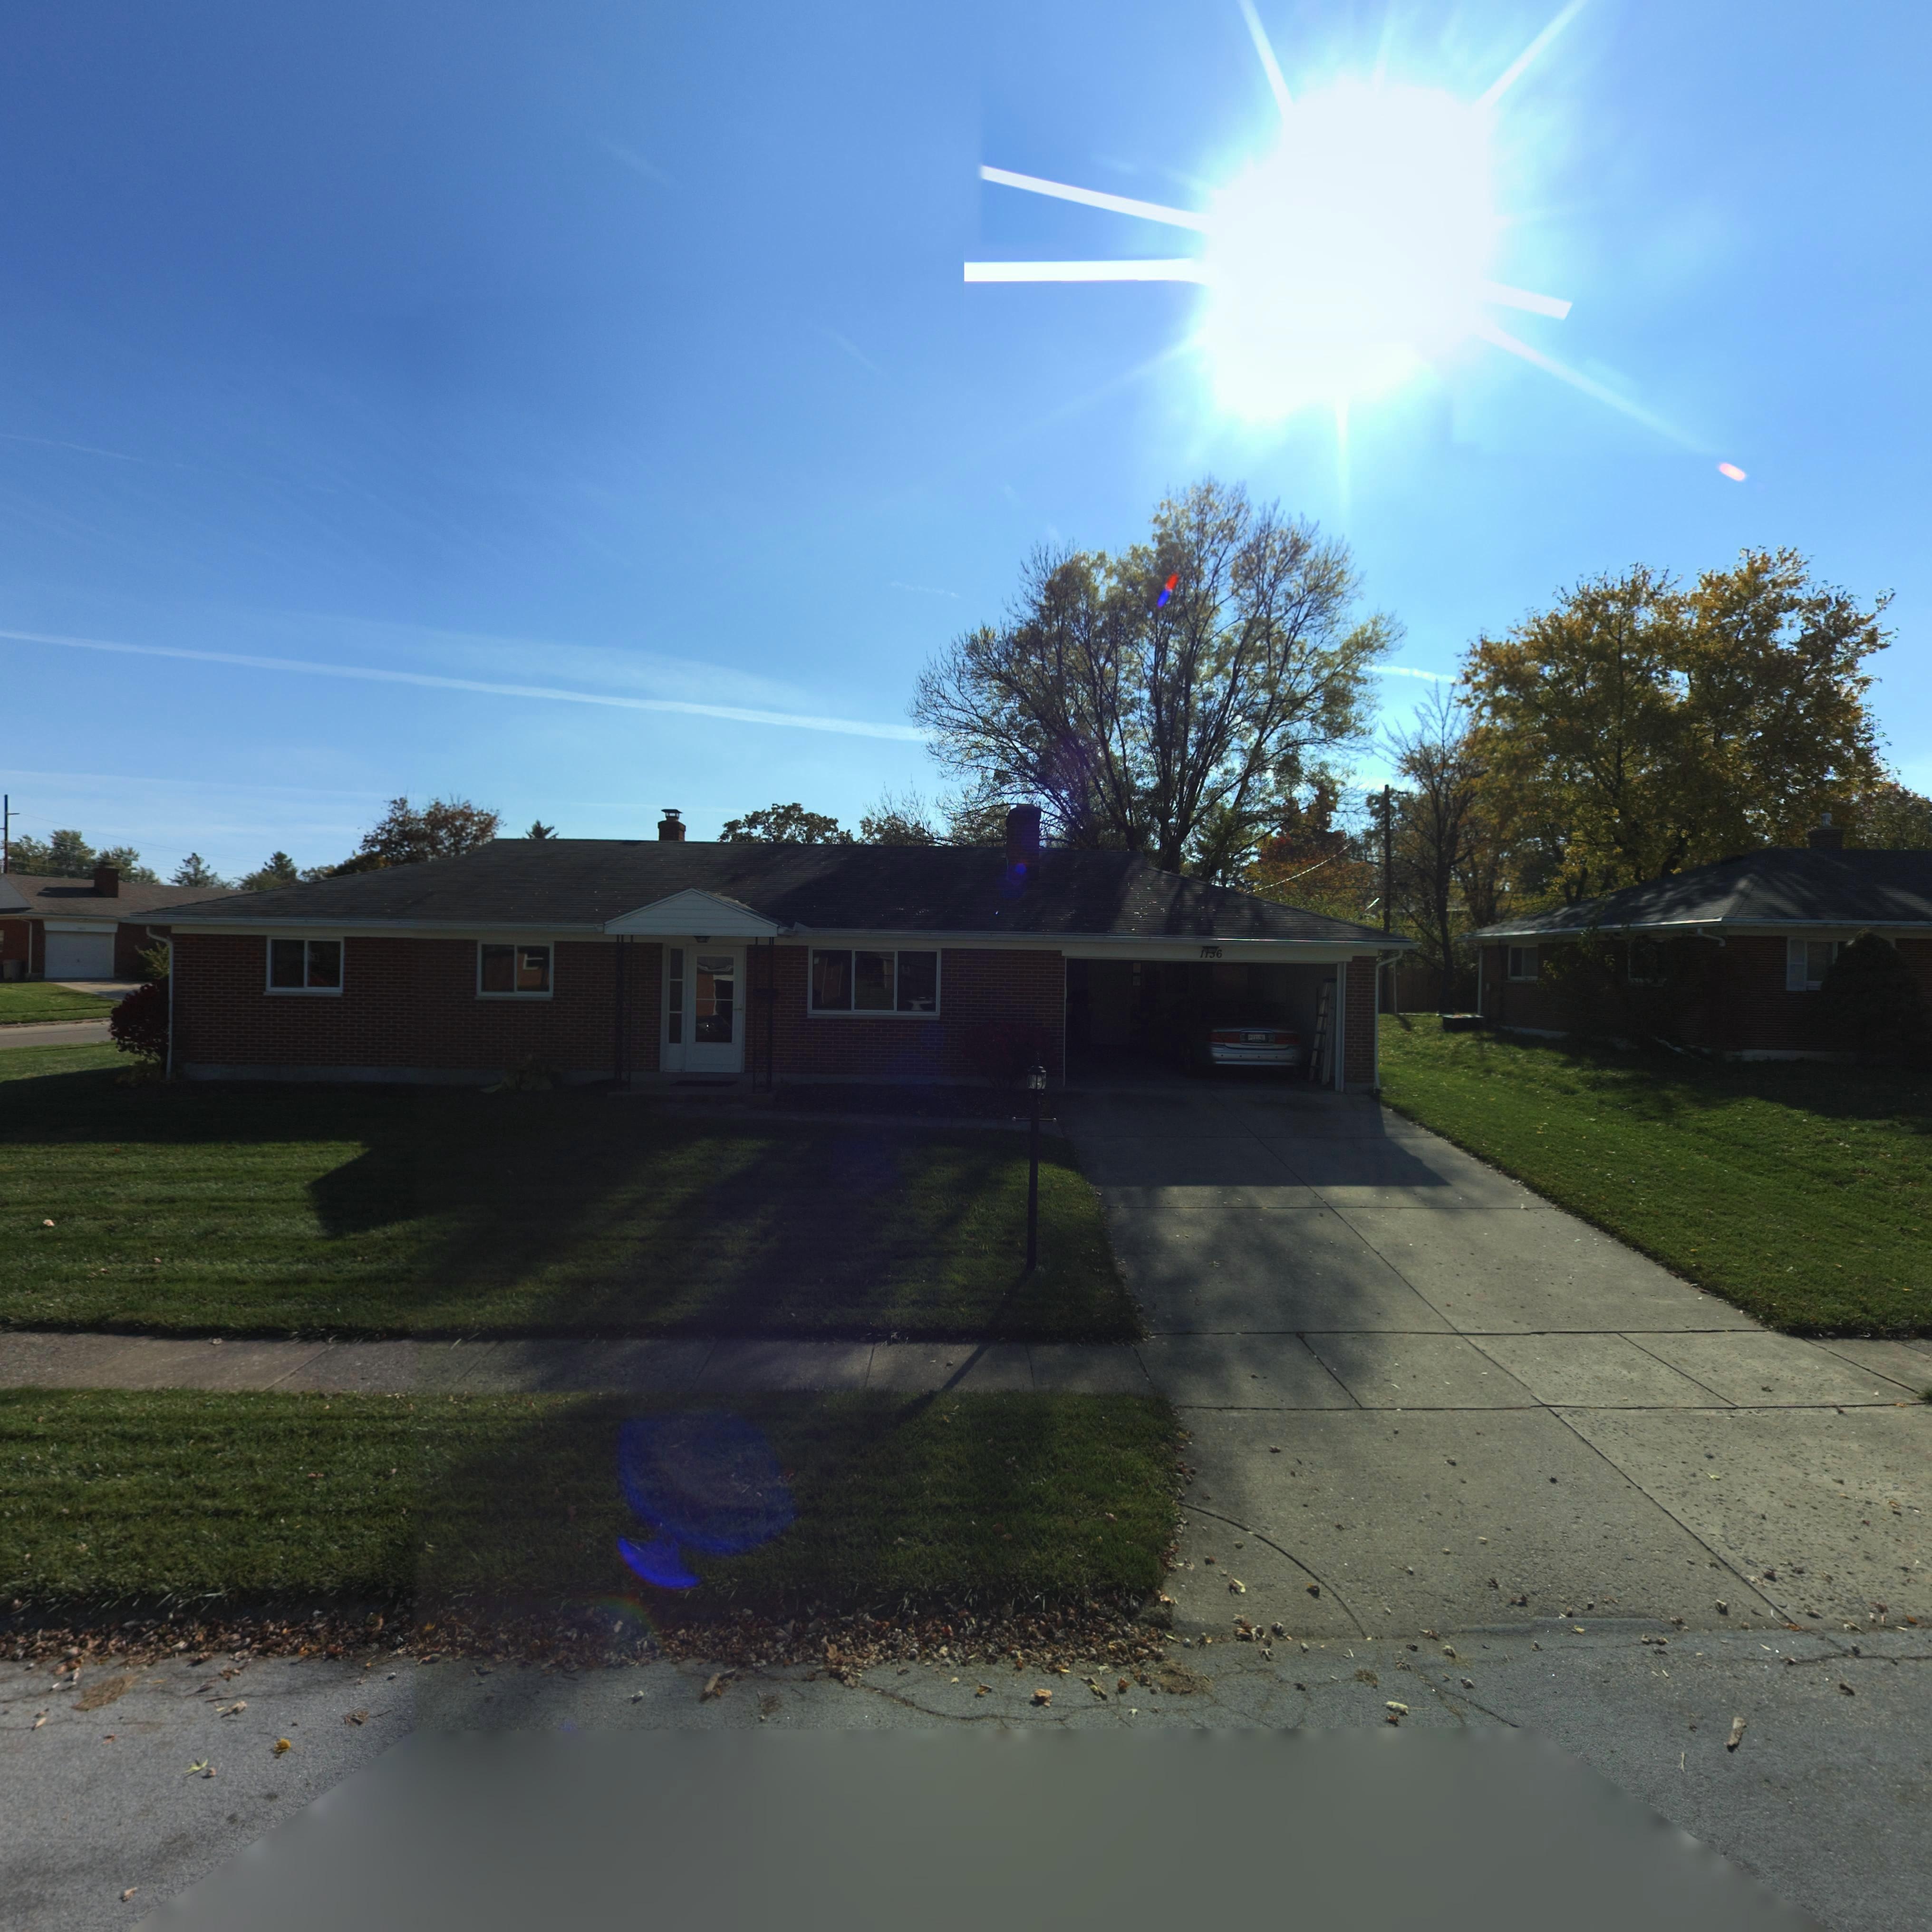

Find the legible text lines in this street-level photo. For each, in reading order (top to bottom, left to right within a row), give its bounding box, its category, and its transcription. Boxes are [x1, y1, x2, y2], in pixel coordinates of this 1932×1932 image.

[1198, 947, 1224, 959] StreetNumber: 1**6